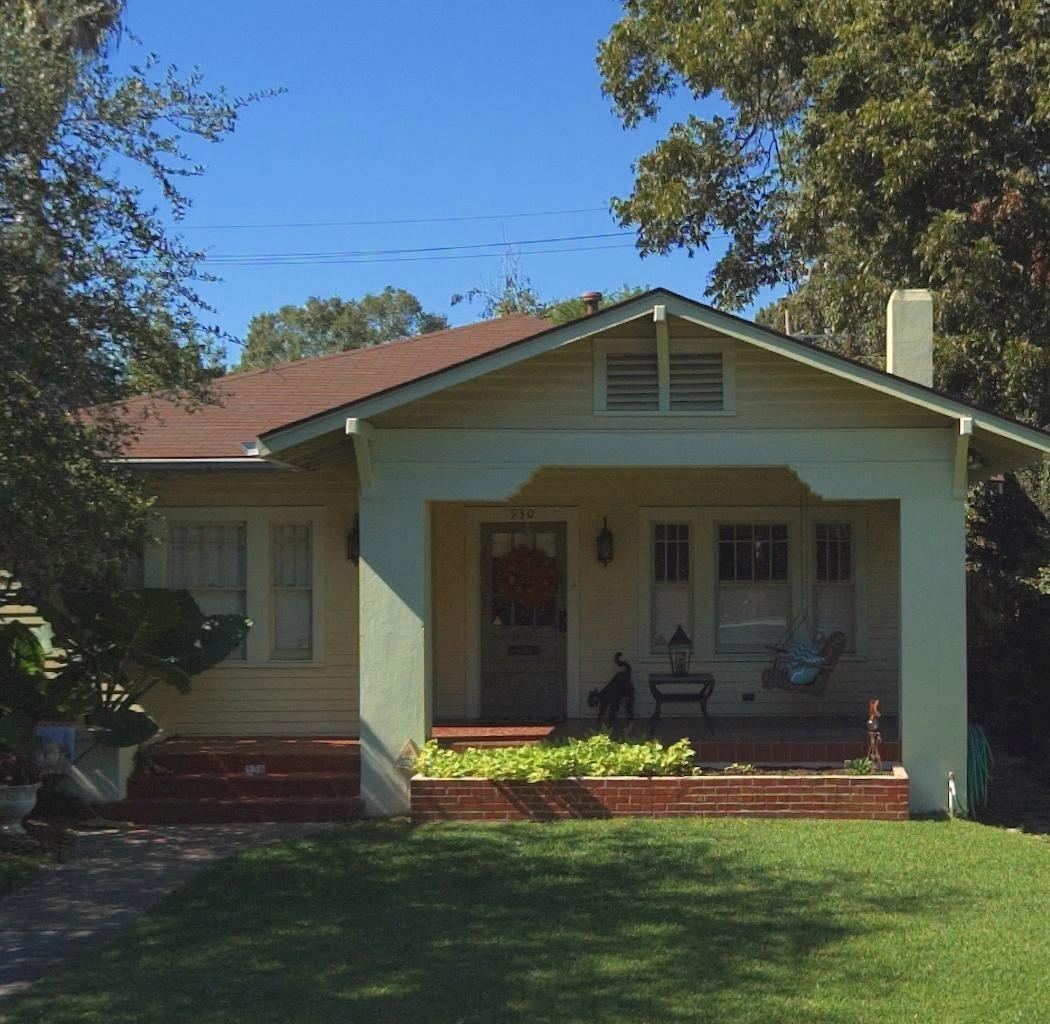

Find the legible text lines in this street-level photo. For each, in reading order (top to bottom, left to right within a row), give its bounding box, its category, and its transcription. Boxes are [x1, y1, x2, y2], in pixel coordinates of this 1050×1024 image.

[508, 506, 536, 521] StreetNumber: 930